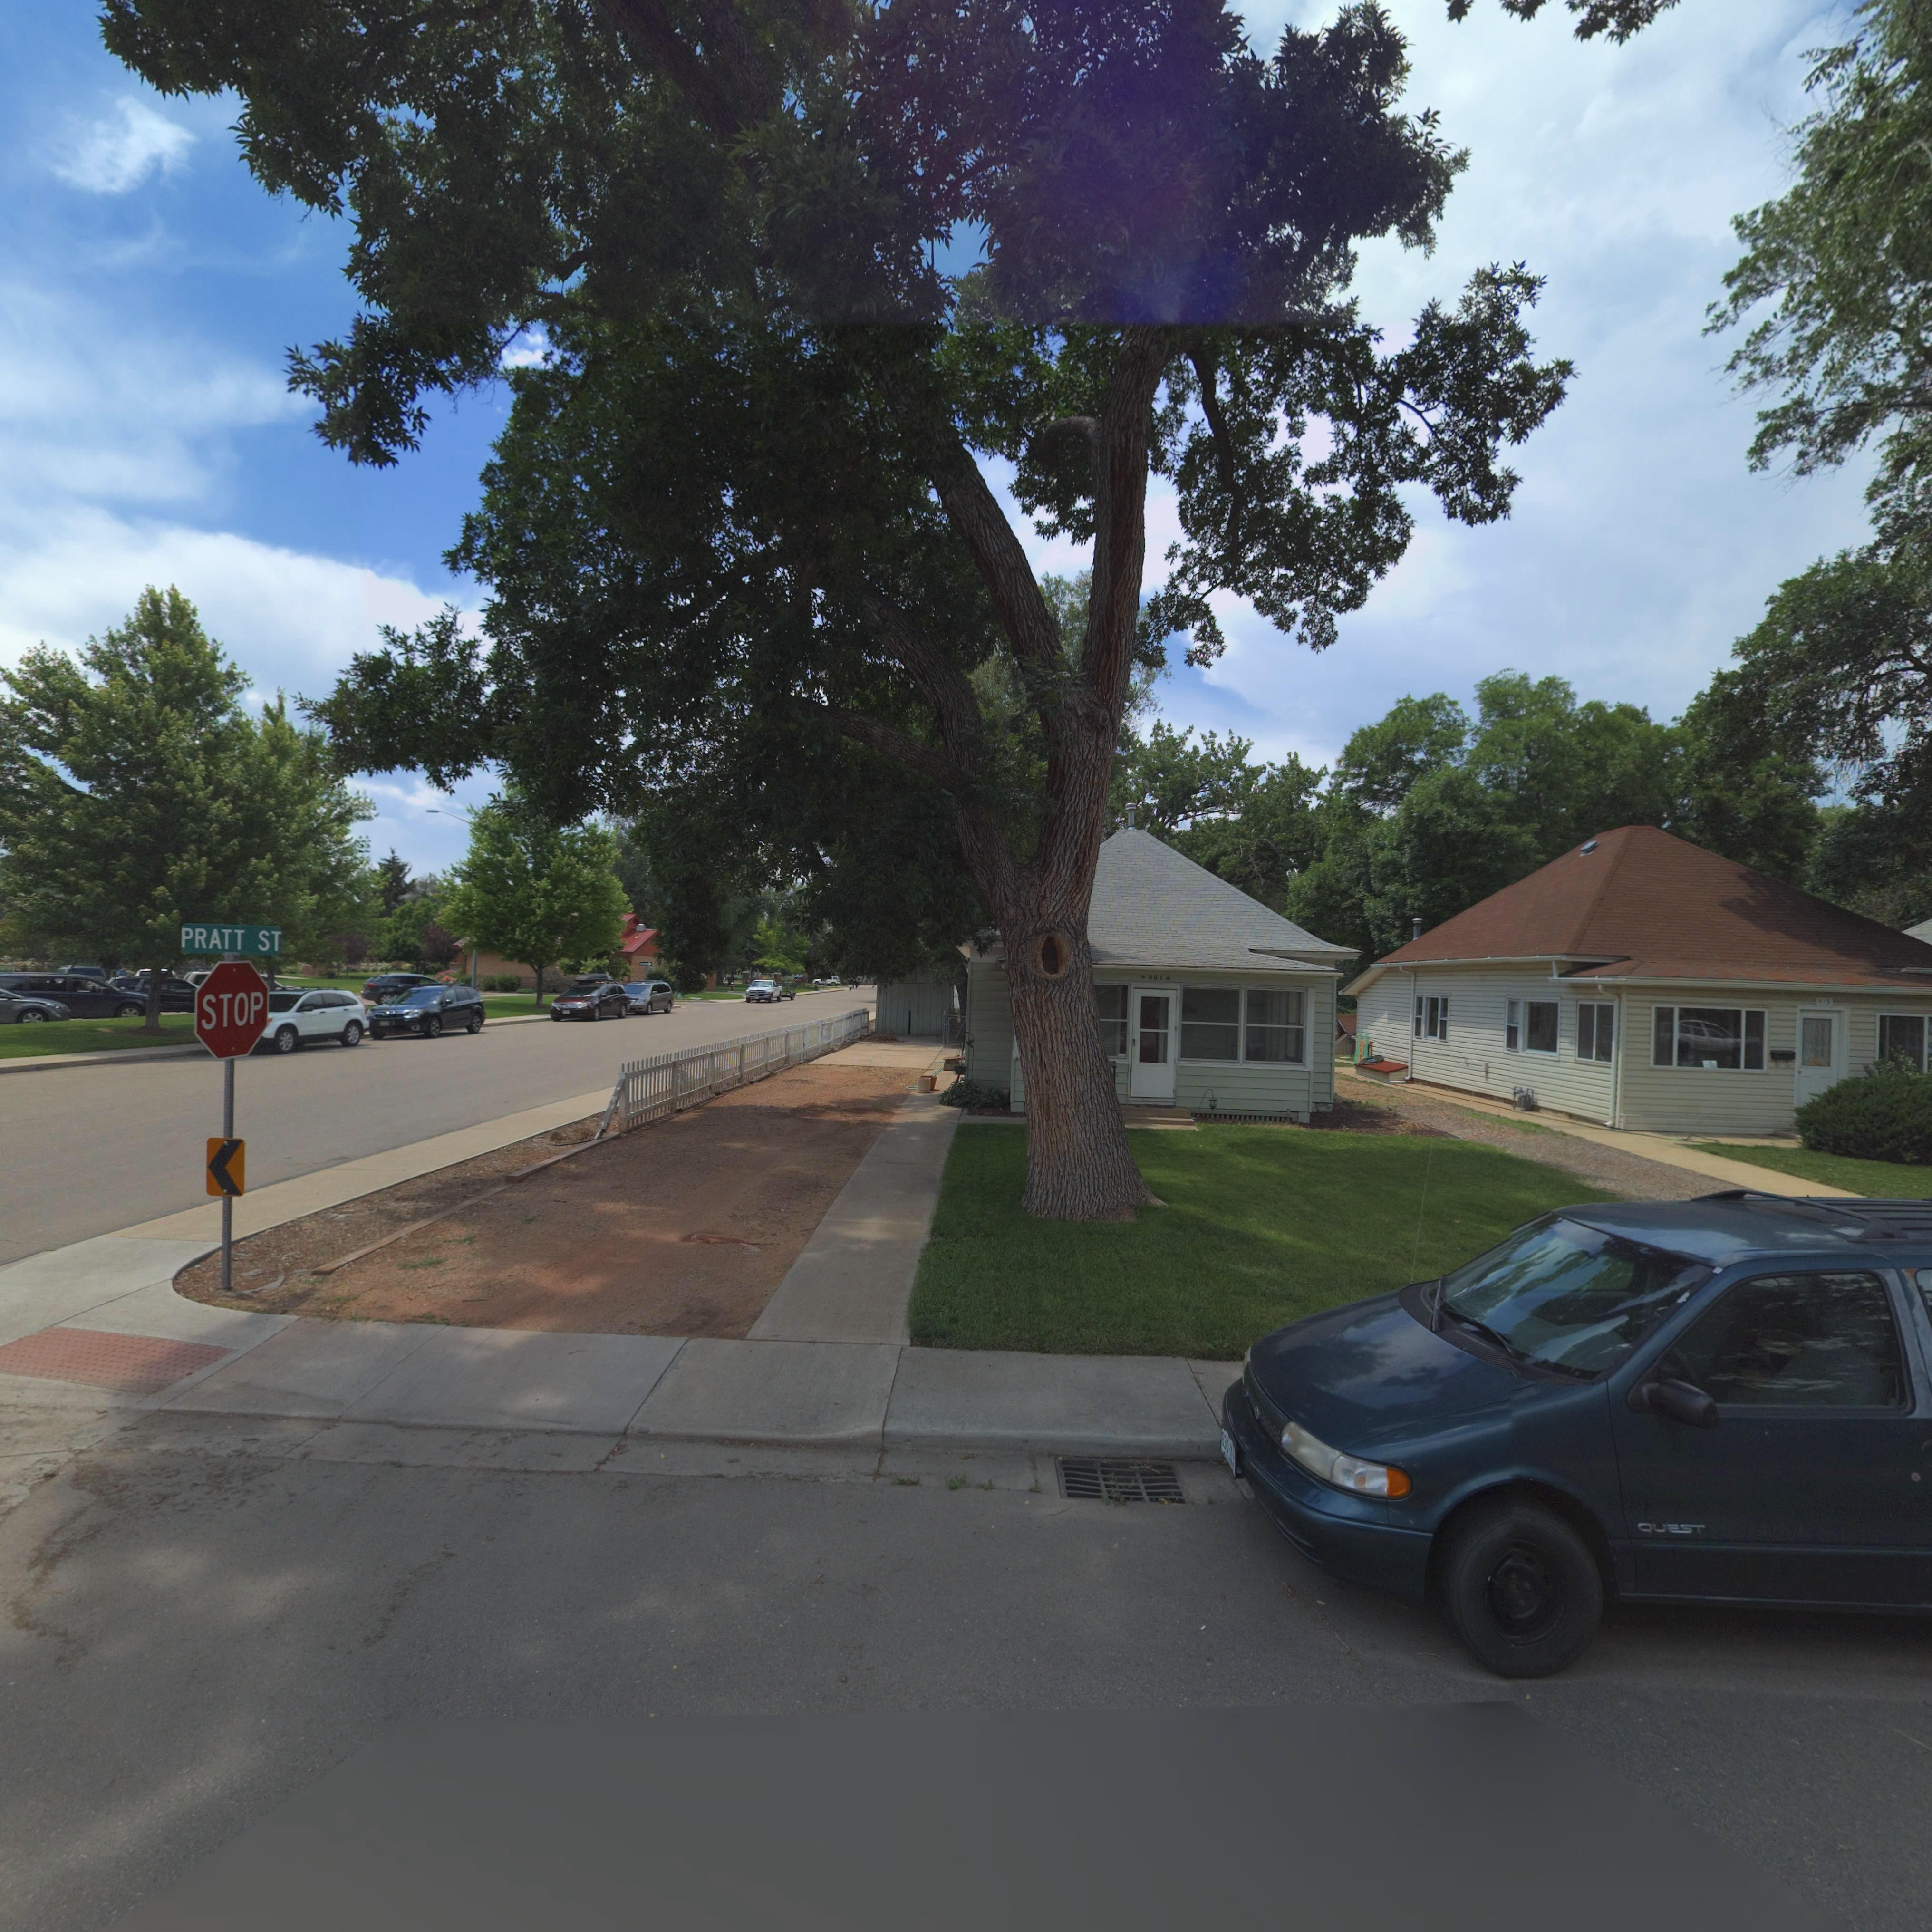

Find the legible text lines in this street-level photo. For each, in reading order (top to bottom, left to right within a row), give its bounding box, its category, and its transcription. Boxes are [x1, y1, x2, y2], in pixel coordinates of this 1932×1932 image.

[180, 927, 281, 951] StreetName: PRATT ST
[1148, 974, 1162, 980] StreetNumber: 801
[1817, 998, 1830, 1005] StreetNumber: **3